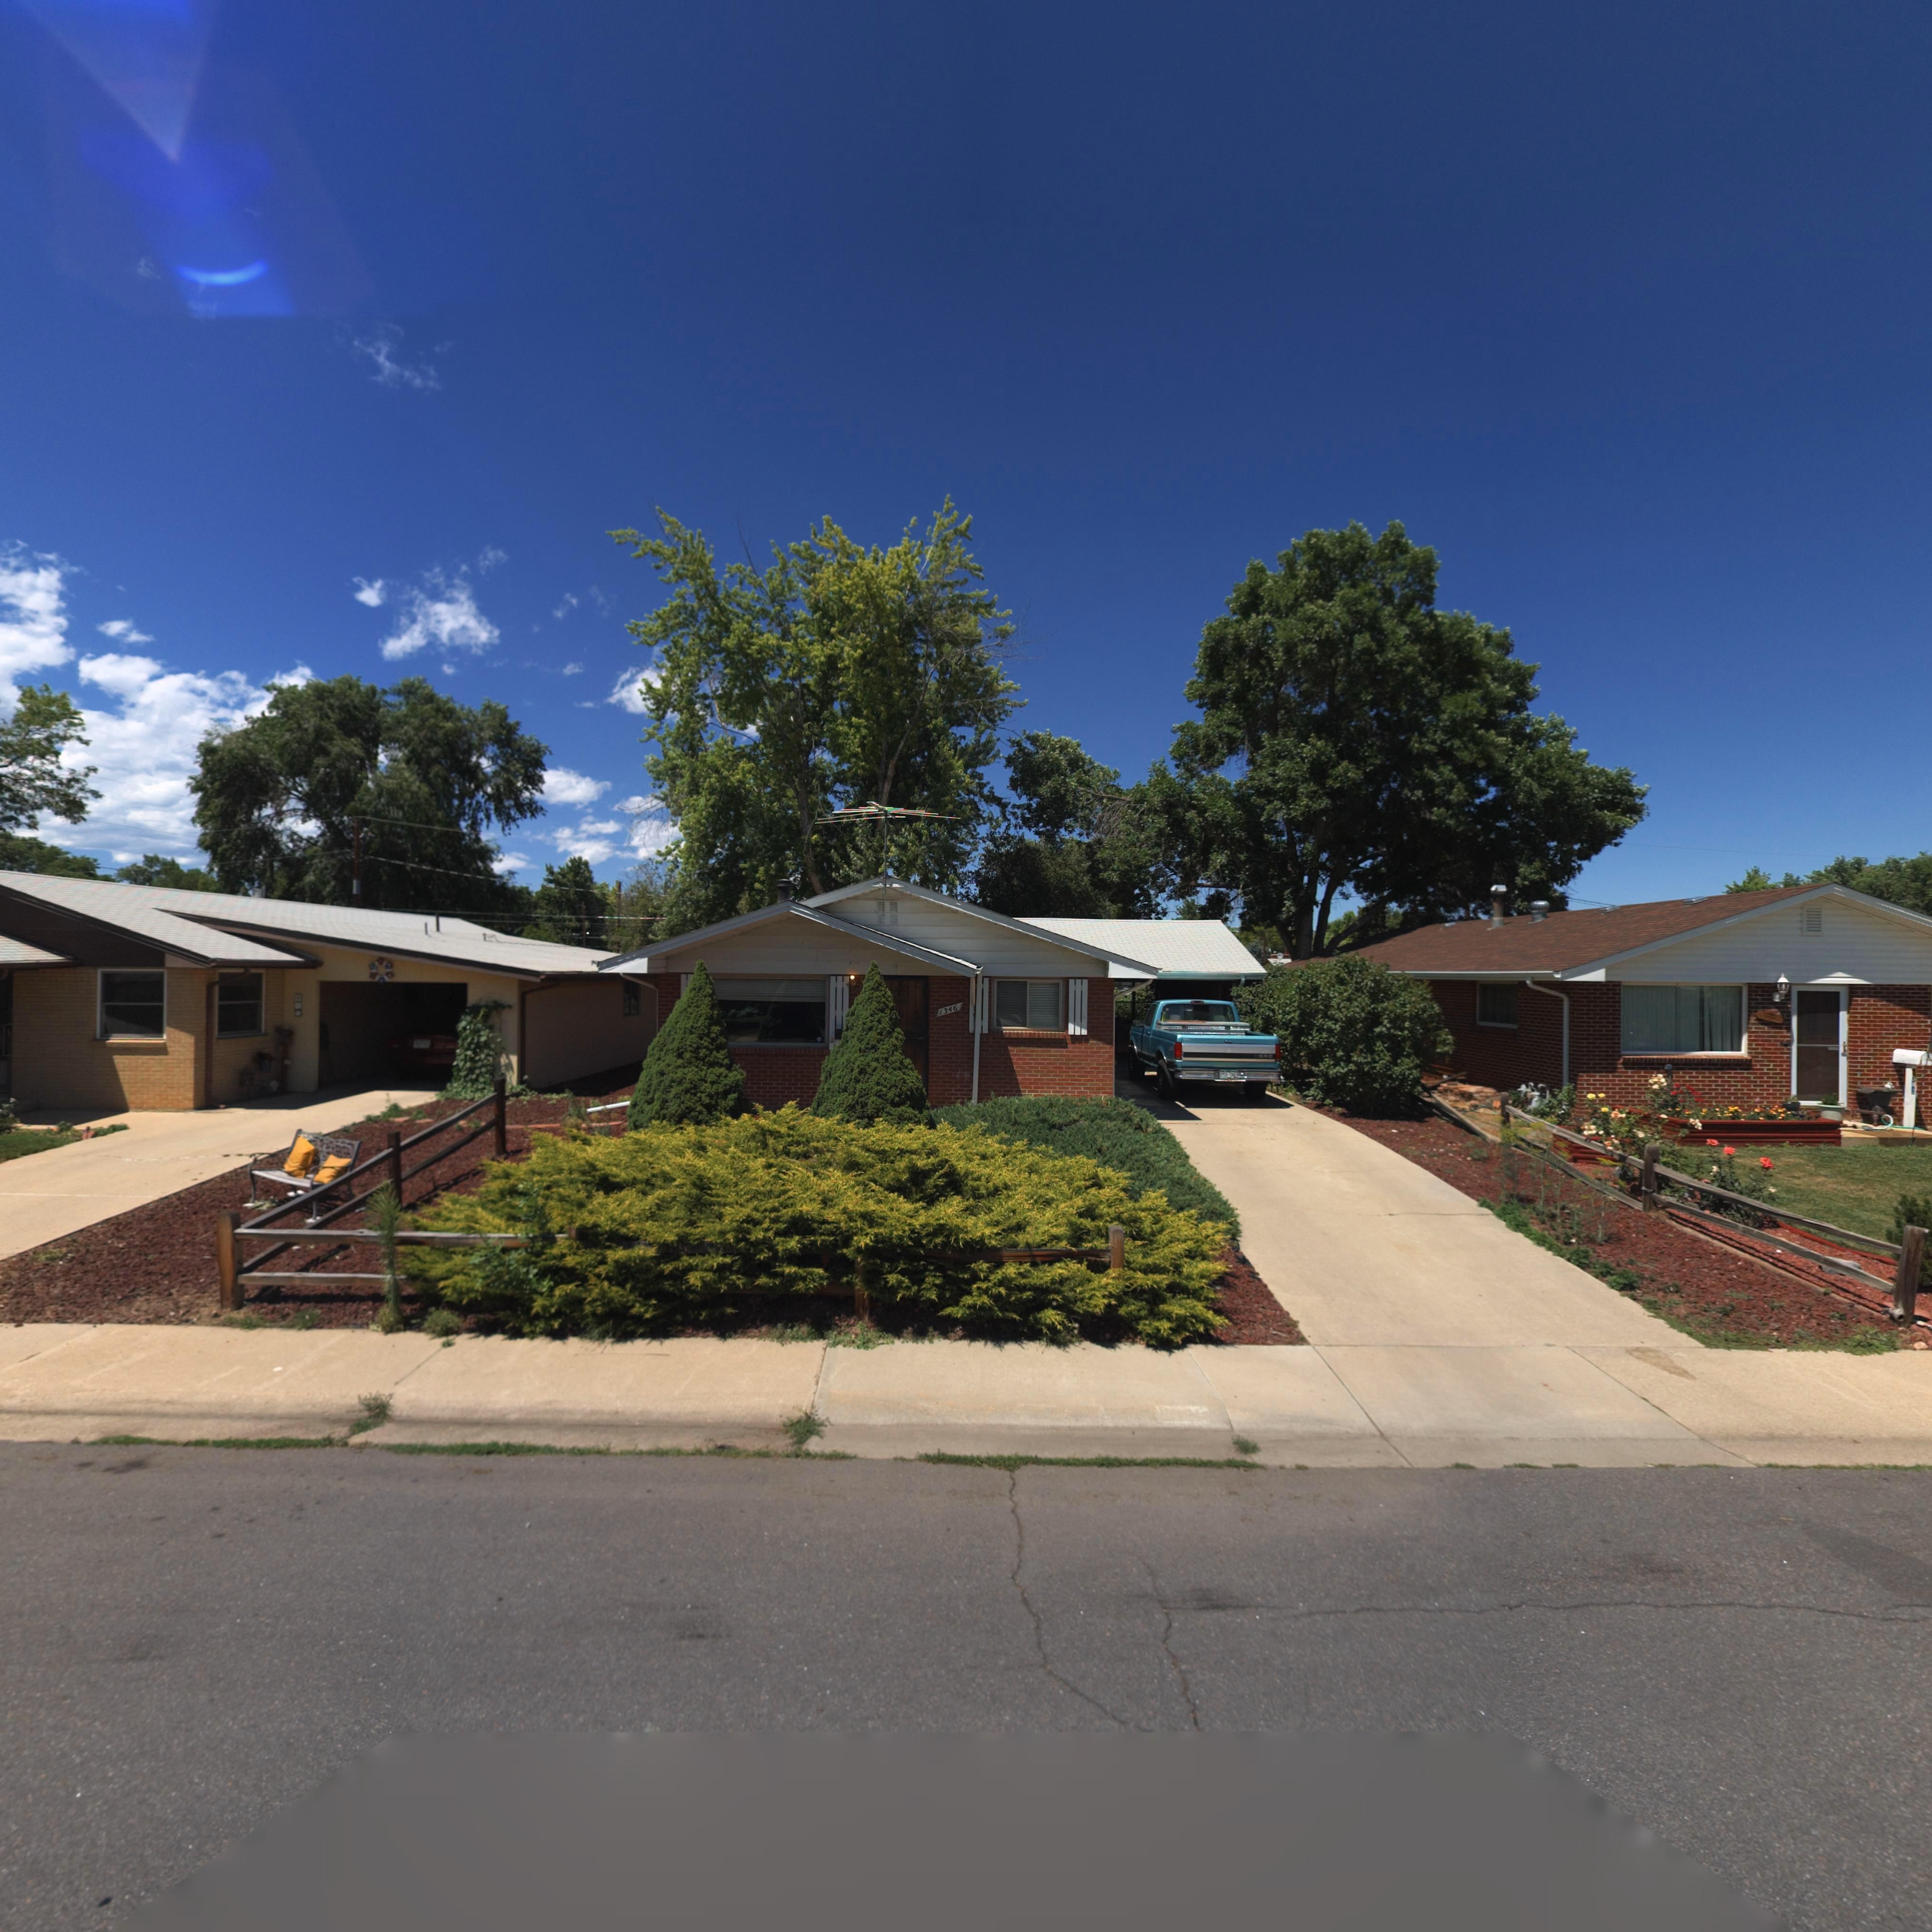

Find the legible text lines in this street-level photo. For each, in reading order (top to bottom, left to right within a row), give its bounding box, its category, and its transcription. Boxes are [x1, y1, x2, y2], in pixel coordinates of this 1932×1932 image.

[939, 1004, 957, 1015] StreetNumber: 1346